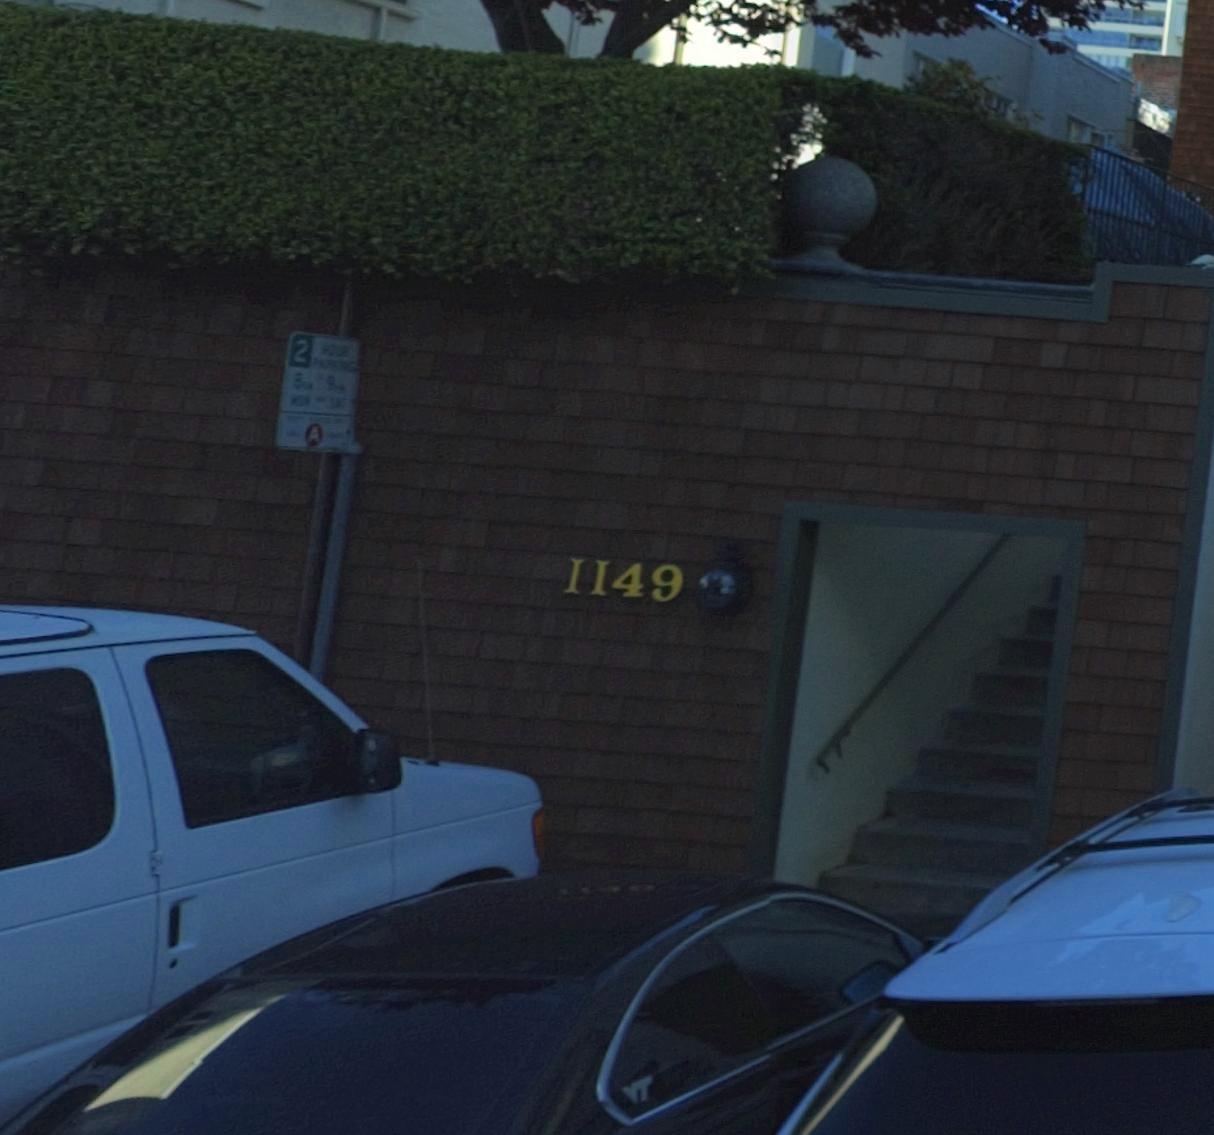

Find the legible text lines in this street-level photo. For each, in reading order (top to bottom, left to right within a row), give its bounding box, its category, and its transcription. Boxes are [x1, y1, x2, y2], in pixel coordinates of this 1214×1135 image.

[291, 336, 313, 365] None: 2
[319, 340, 352, 360] None: HOUR
[310, 354, 358, 373] None: PARKING
[291, 371, 305, 390] None: 8
[325, 373, 337, 393] None: 9
[304, 423, 322, 444] None: A
[557, 554, 690, 604] StreetNumber: 1149